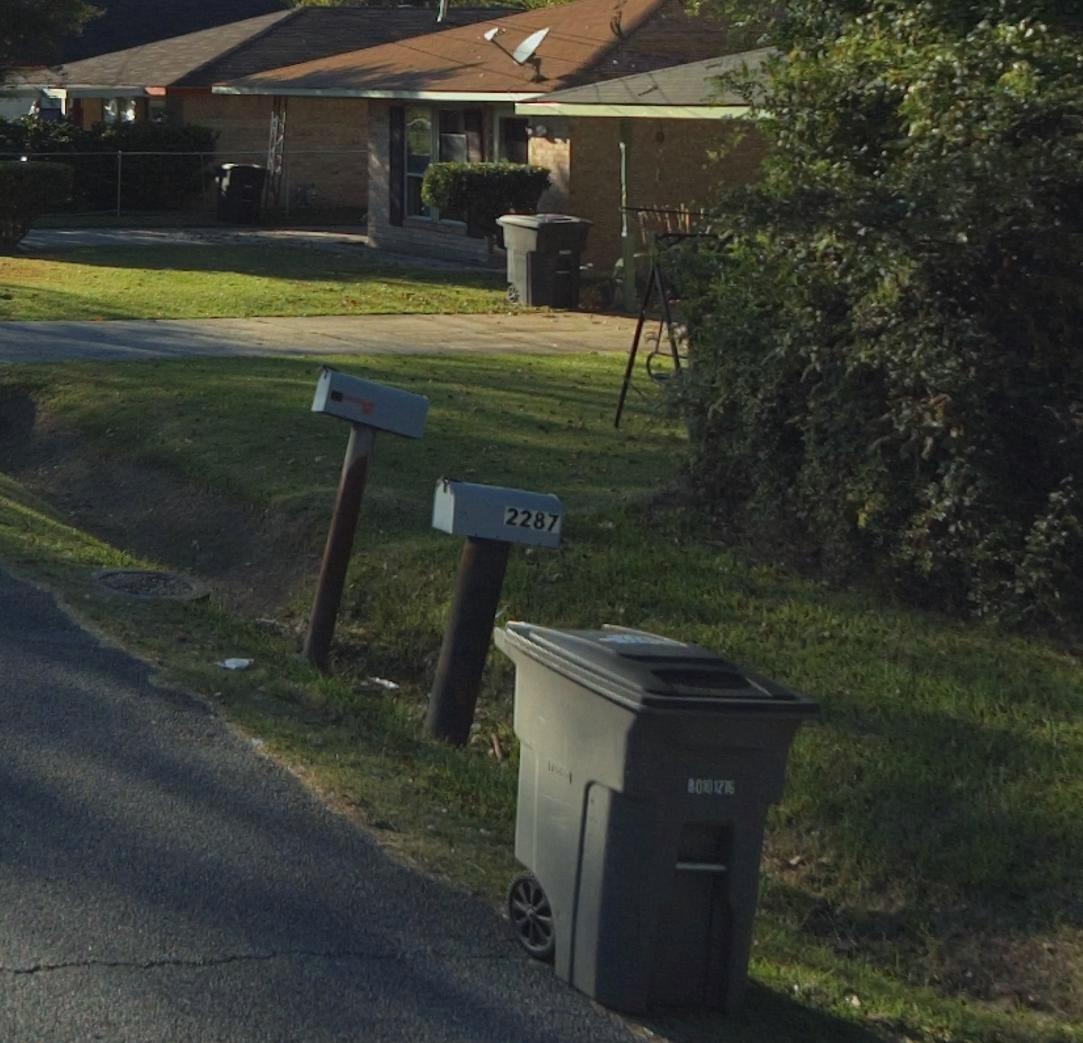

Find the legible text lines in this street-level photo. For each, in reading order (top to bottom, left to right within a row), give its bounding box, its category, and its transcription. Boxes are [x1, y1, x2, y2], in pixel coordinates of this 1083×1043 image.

[503, 506, 561, 532] StreetNumber: 2287
[686, 776, 736, 797] None: 80*01715